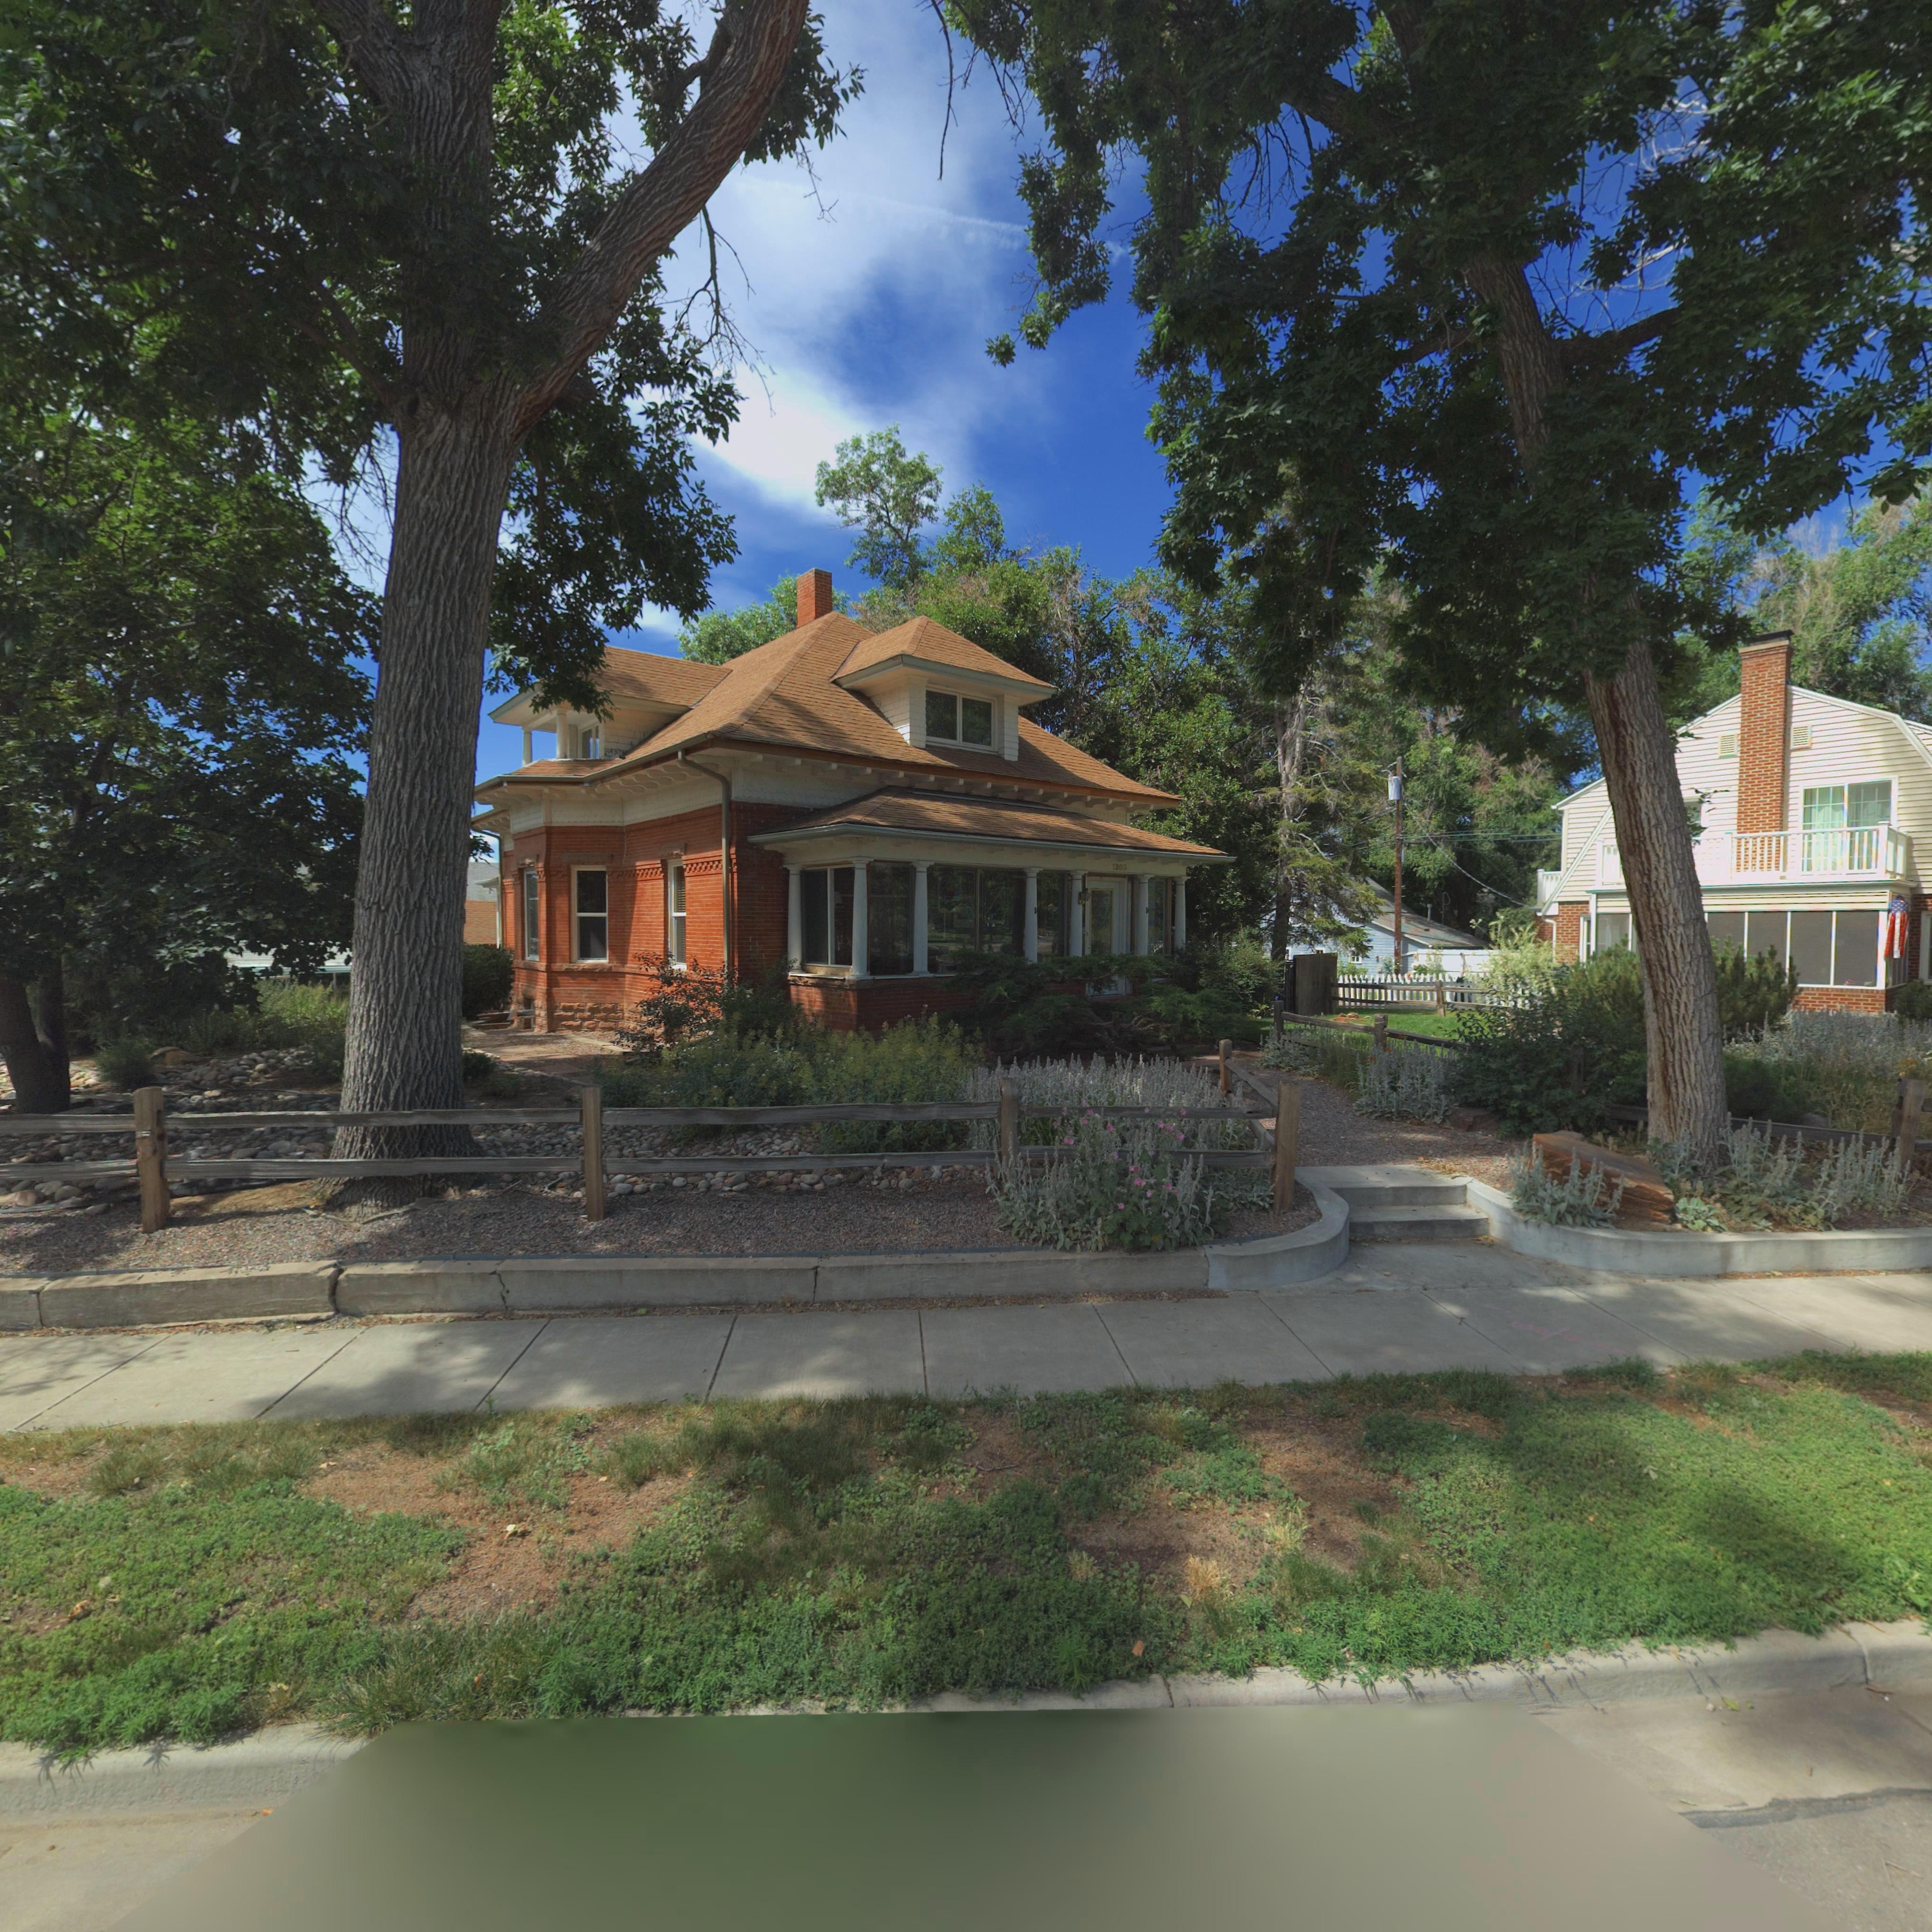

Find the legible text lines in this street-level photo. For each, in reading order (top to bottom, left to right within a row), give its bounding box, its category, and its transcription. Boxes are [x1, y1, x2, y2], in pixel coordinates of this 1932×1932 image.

[1112, 863, 1127, 870] StreetNumber: 1203